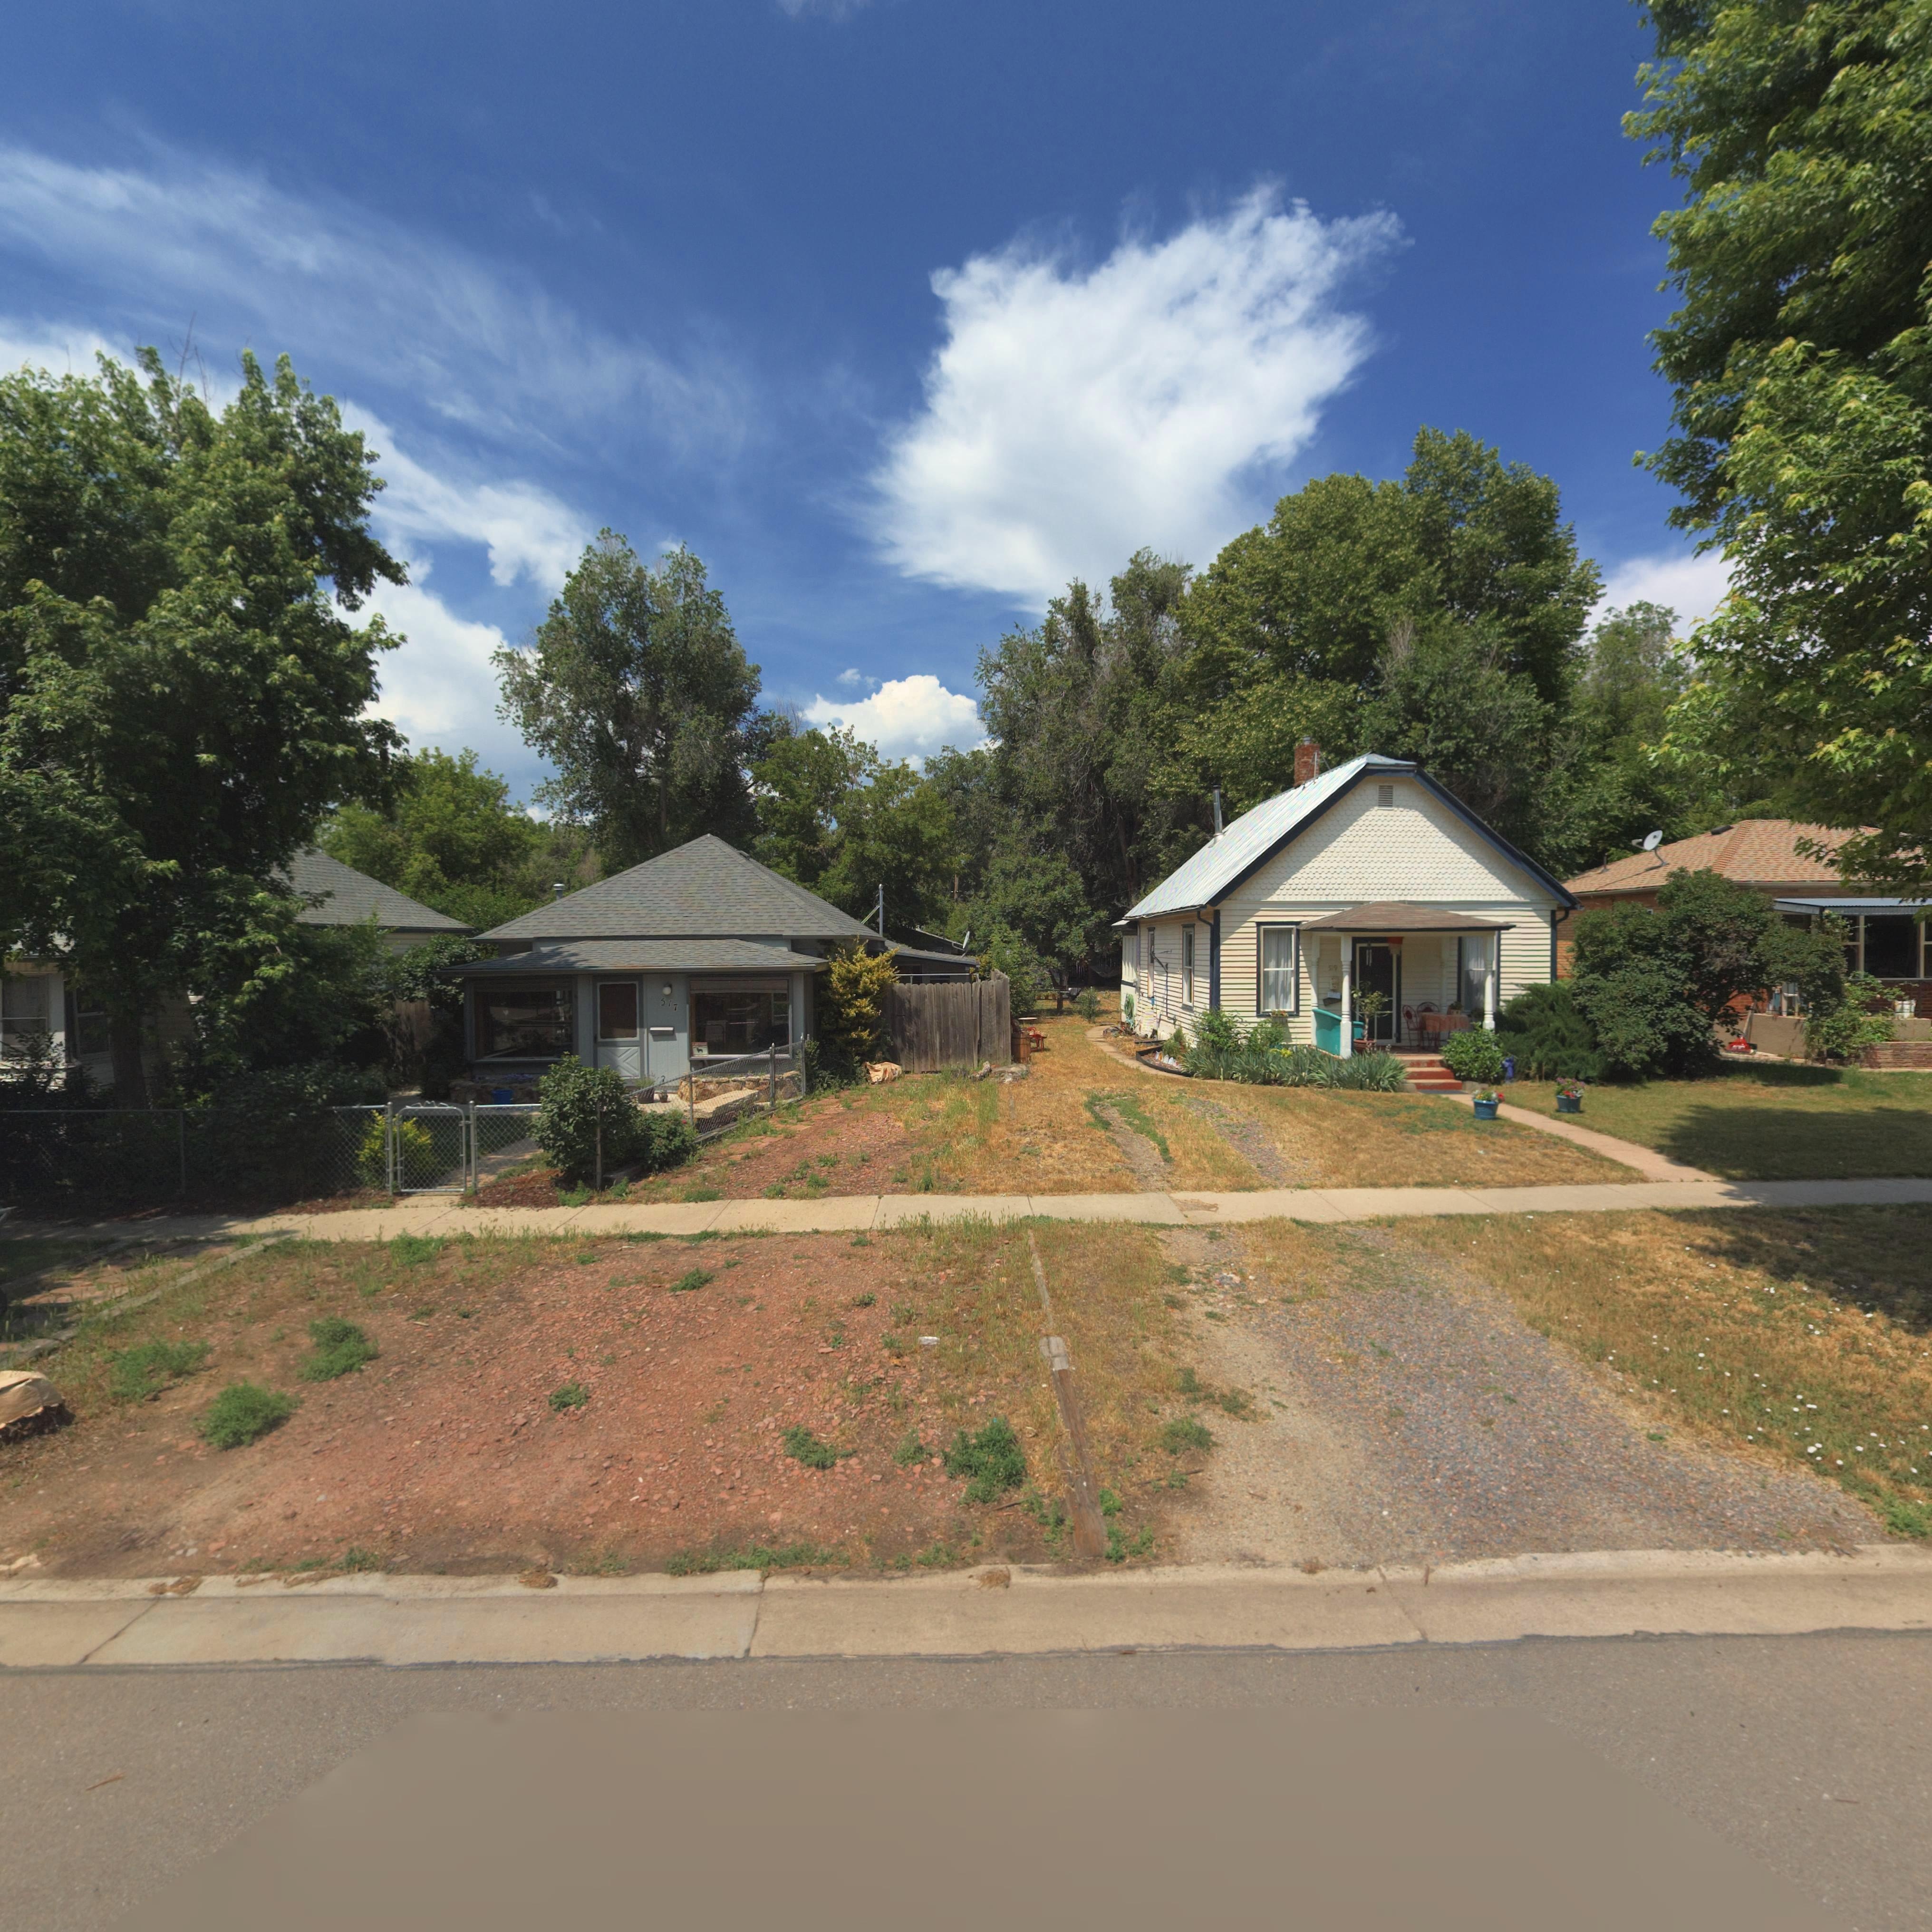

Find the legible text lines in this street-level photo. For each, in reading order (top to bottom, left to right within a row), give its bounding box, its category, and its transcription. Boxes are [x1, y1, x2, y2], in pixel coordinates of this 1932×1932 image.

[1327, 964, 1338, 971] StreetNumber: 59
[660, 997, 677, 1011] StreetNumber: 517